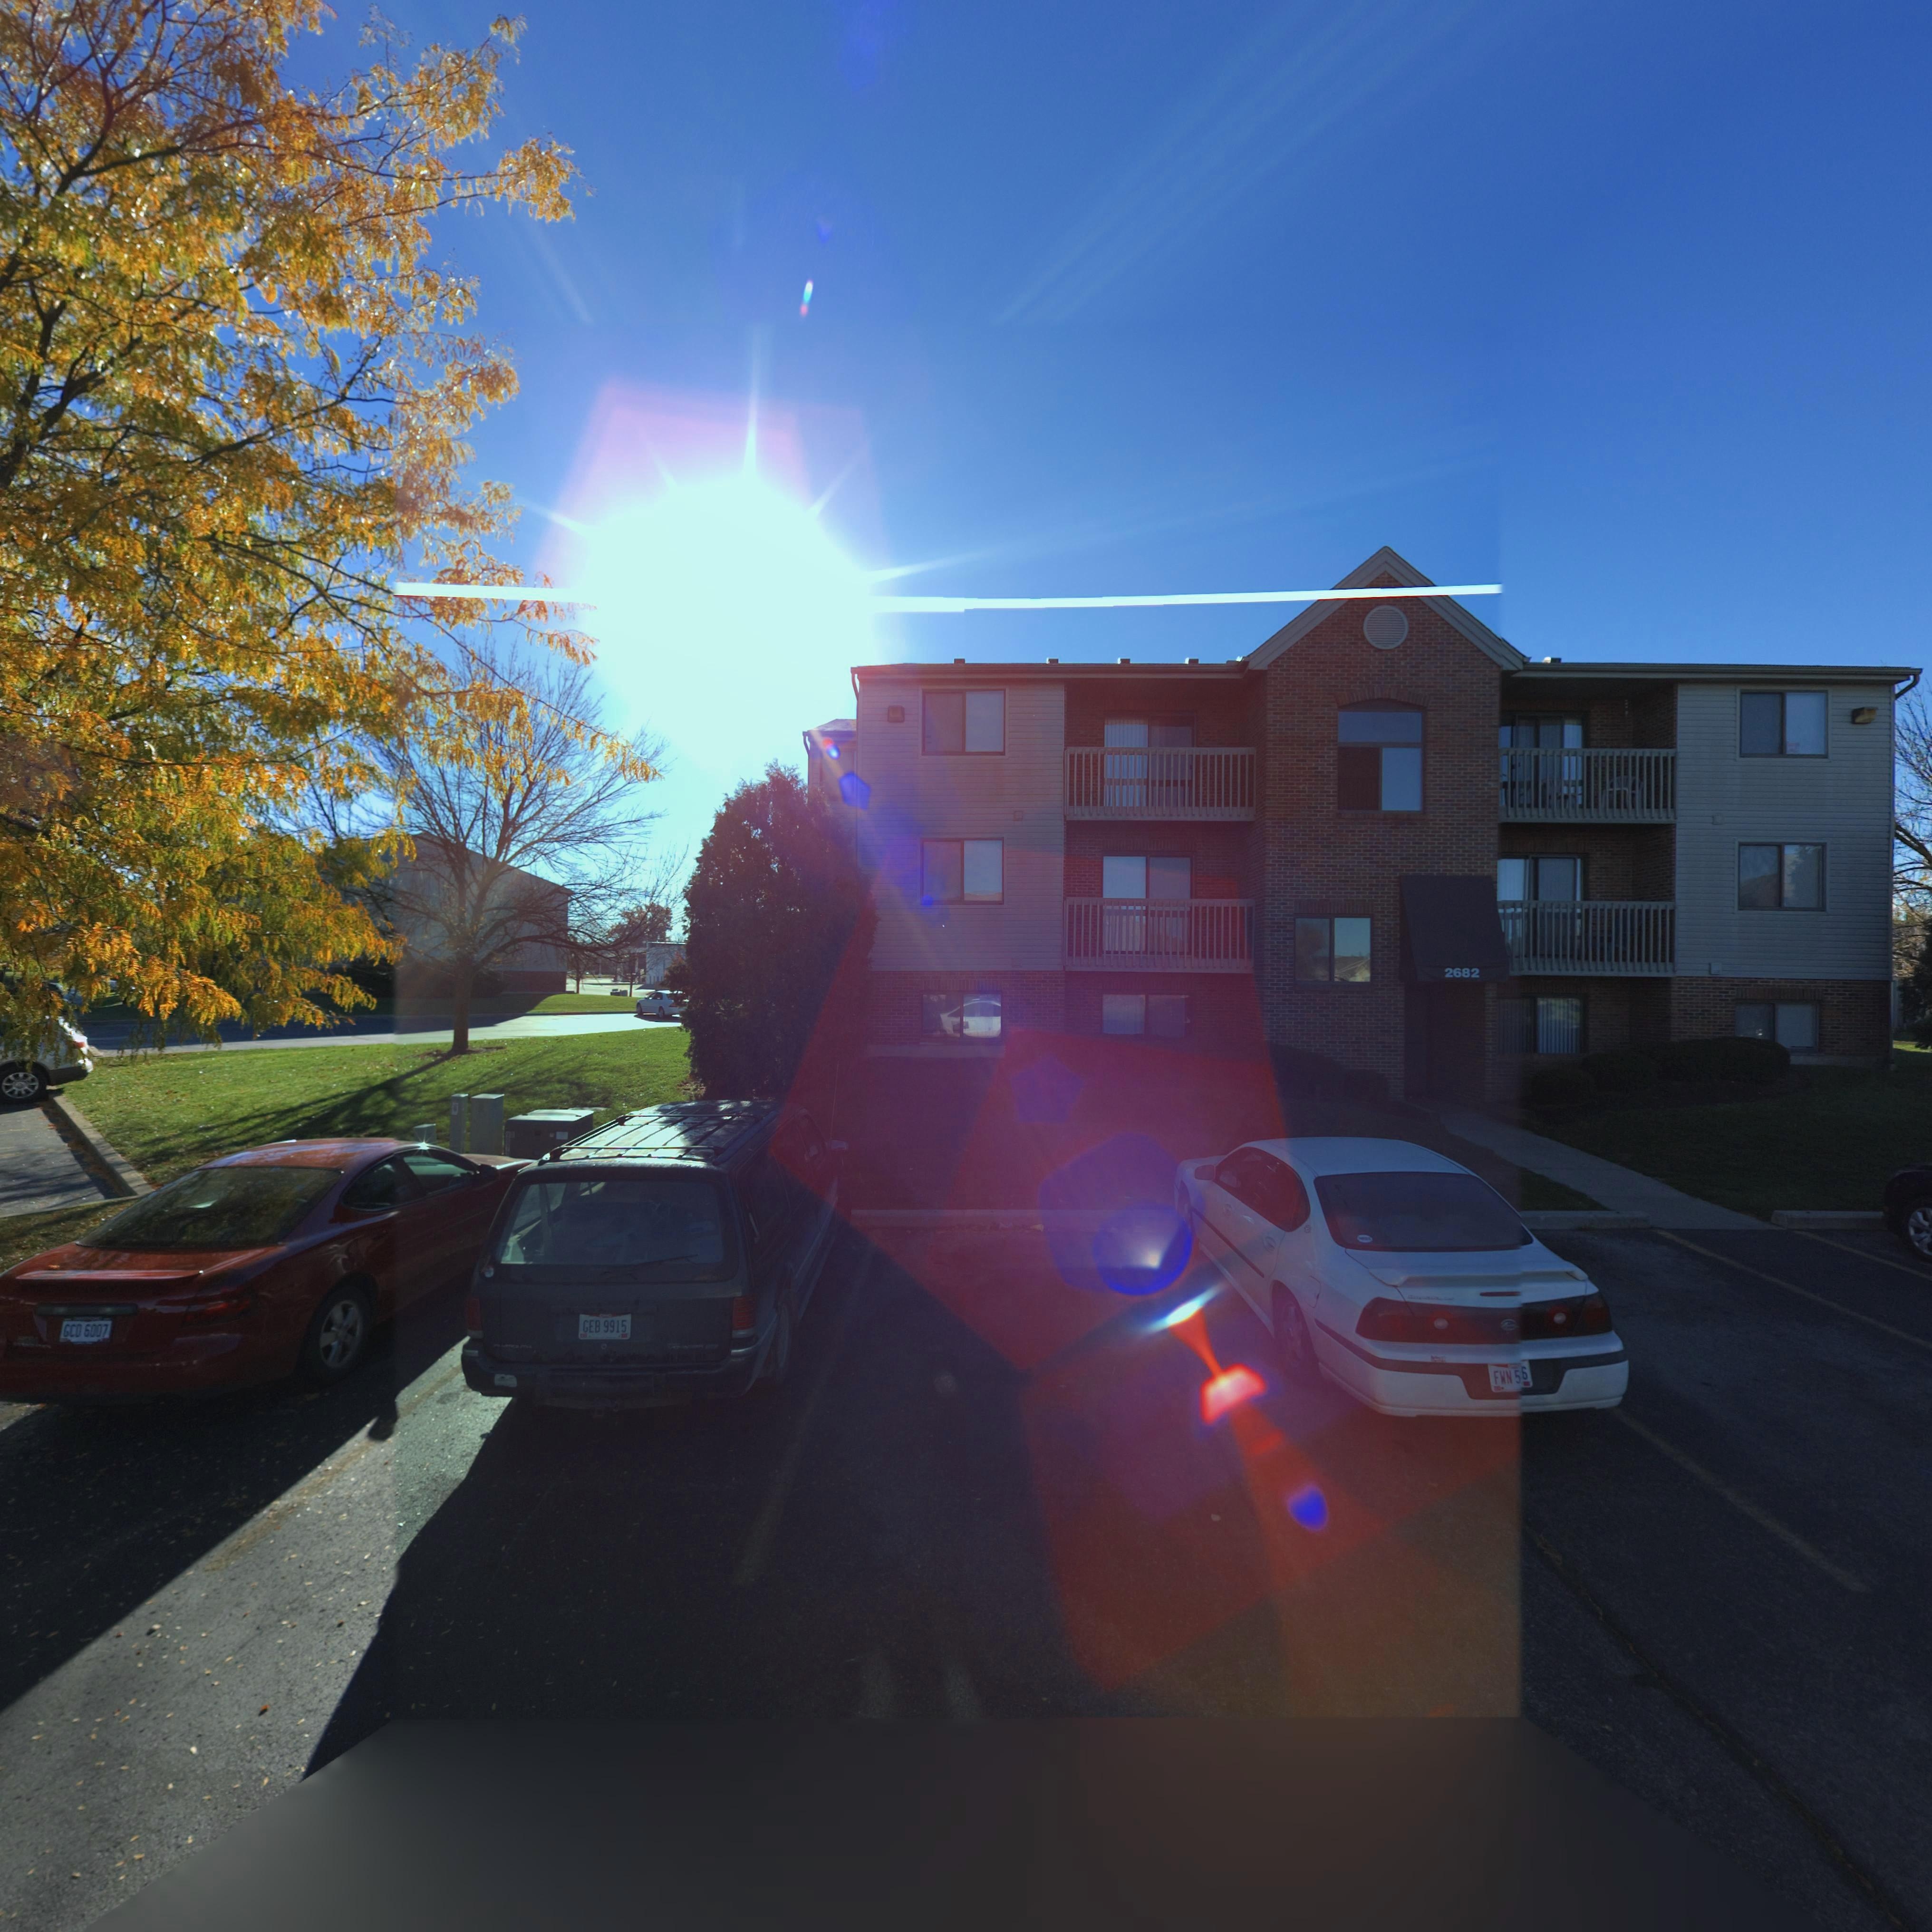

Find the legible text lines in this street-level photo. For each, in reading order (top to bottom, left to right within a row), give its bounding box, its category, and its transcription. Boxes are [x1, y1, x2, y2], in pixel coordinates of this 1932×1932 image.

[1444, 967, 1480, 978] StreetNumber: 2682